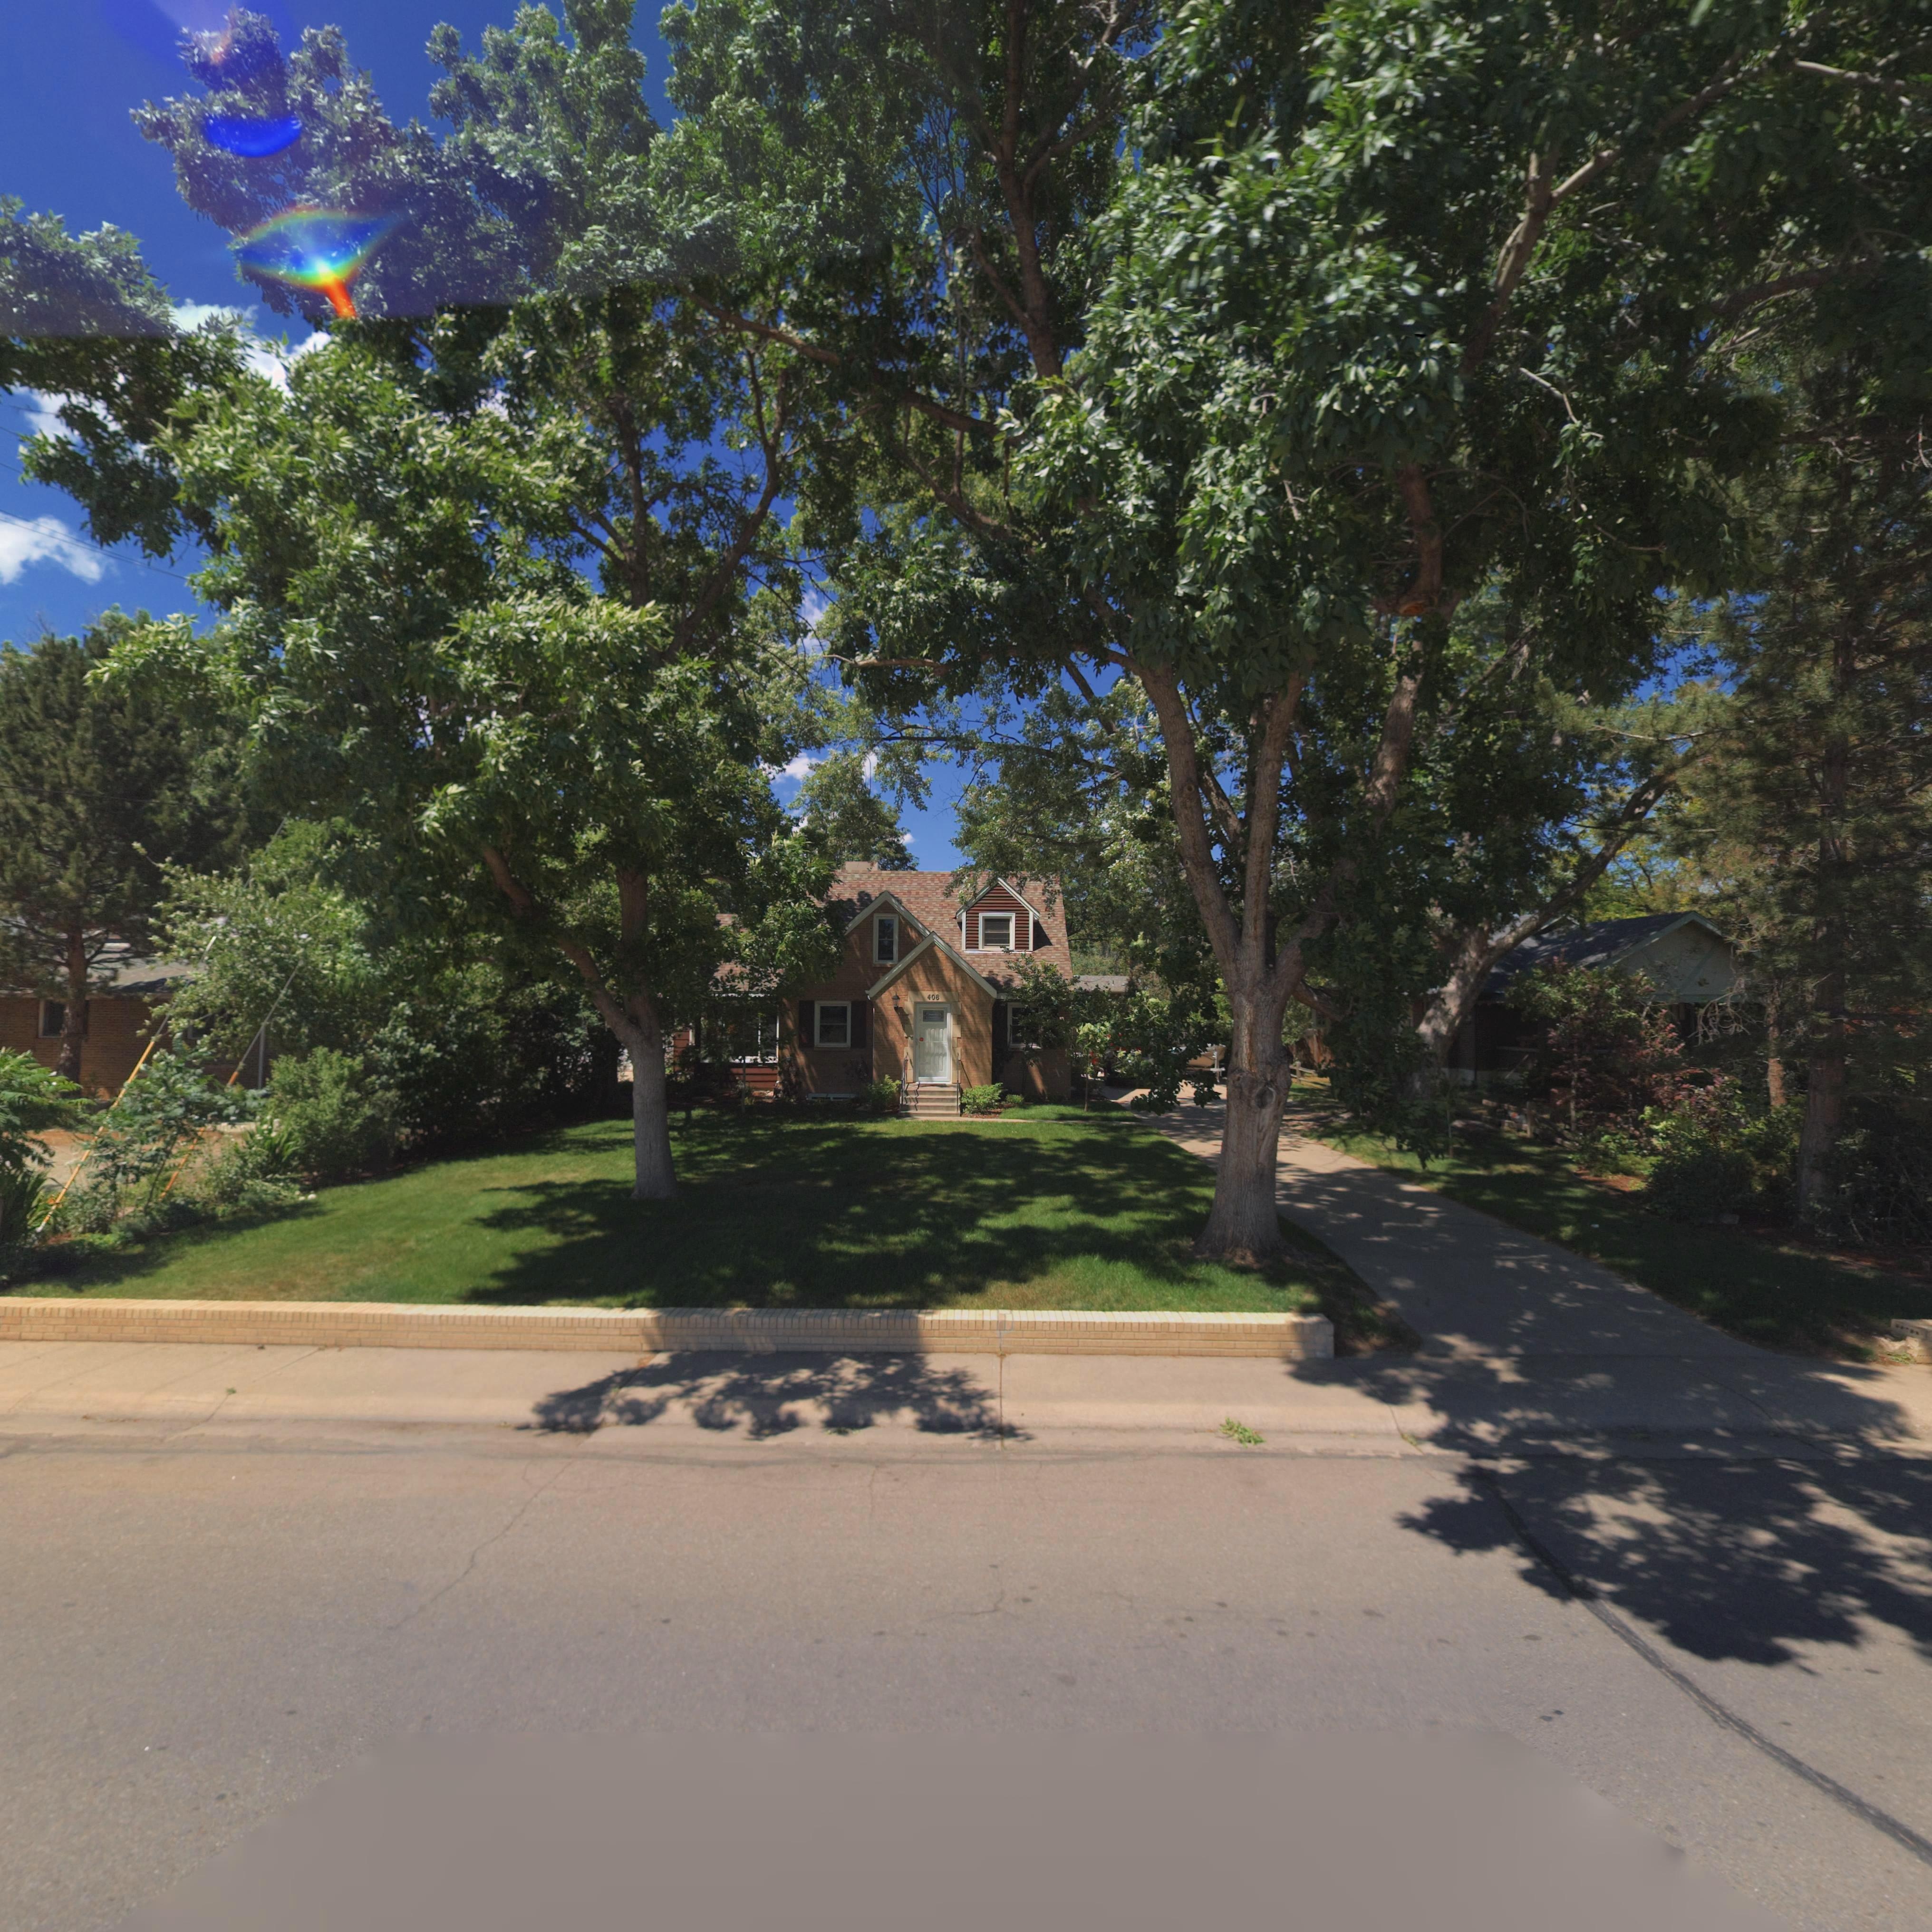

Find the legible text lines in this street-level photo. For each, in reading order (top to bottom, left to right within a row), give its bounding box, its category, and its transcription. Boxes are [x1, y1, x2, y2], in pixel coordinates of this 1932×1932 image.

[926, 993, 940, 1000] StreetNumber: 408